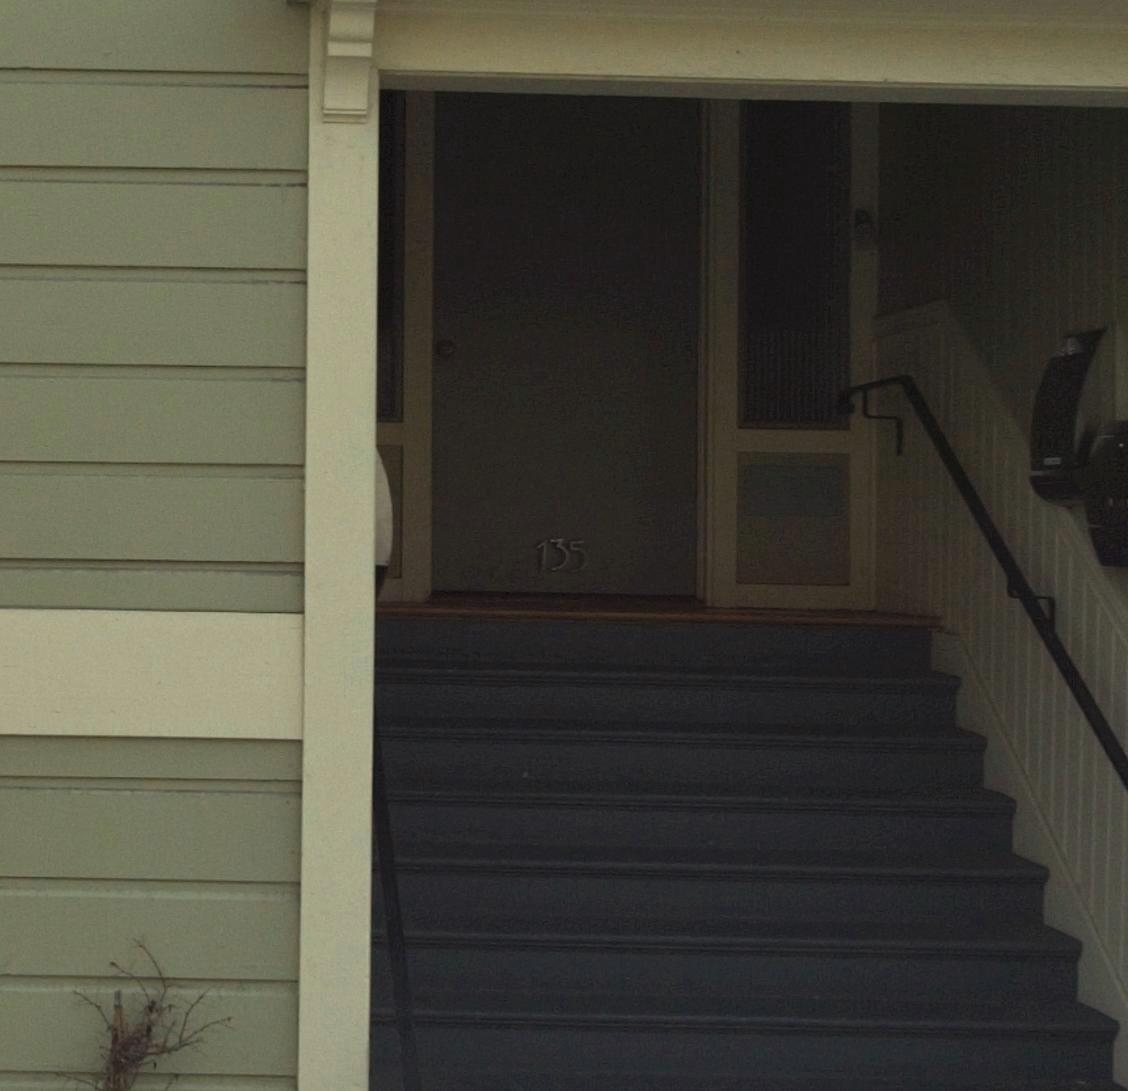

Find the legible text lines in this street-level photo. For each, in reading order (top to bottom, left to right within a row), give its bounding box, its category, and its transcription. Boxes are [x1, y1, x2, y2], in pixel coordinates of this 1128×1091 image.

[533, 535, 590, 575] StreetNumber: 135